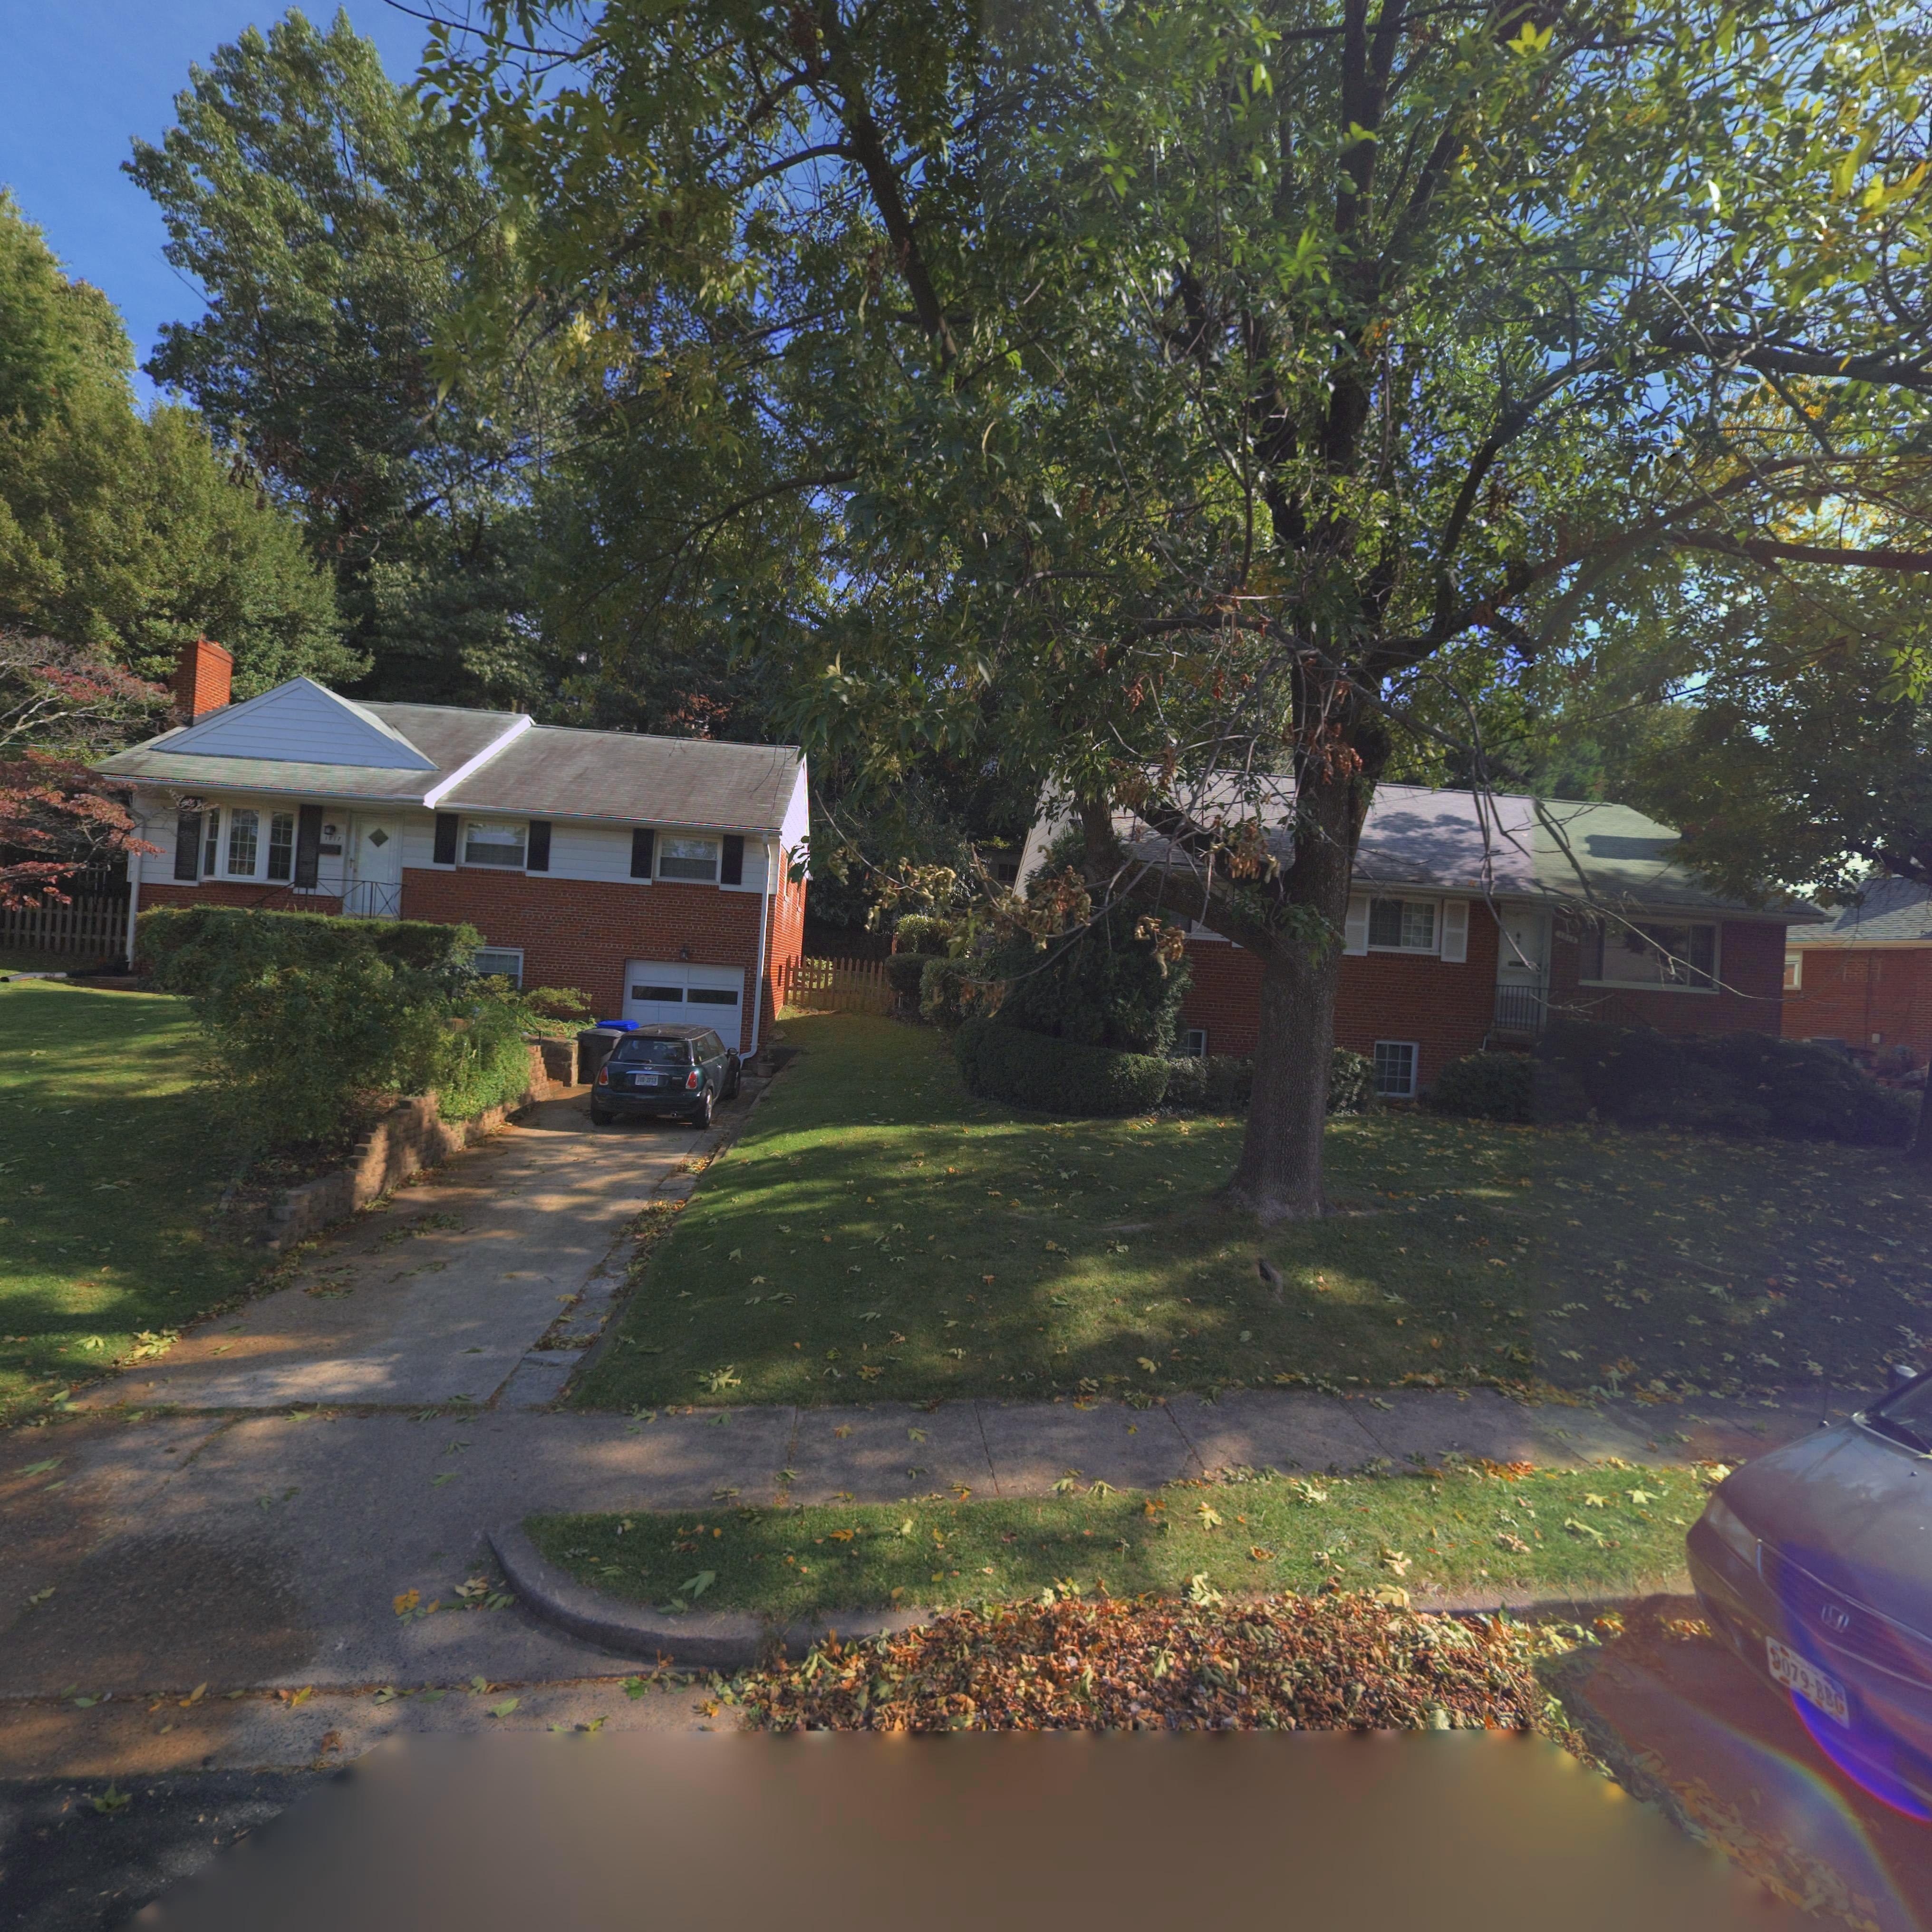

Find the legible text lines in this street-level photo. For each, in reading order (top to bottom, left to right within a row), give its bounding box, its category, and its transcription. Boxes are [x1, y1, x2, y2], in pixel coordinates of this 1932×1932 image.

[324, 834, 341, 842] StreetNumber: 1817
[636, 1077, 656, 1082] None: J**-2253
[671, 1076, 682, 1081] None: COOPER